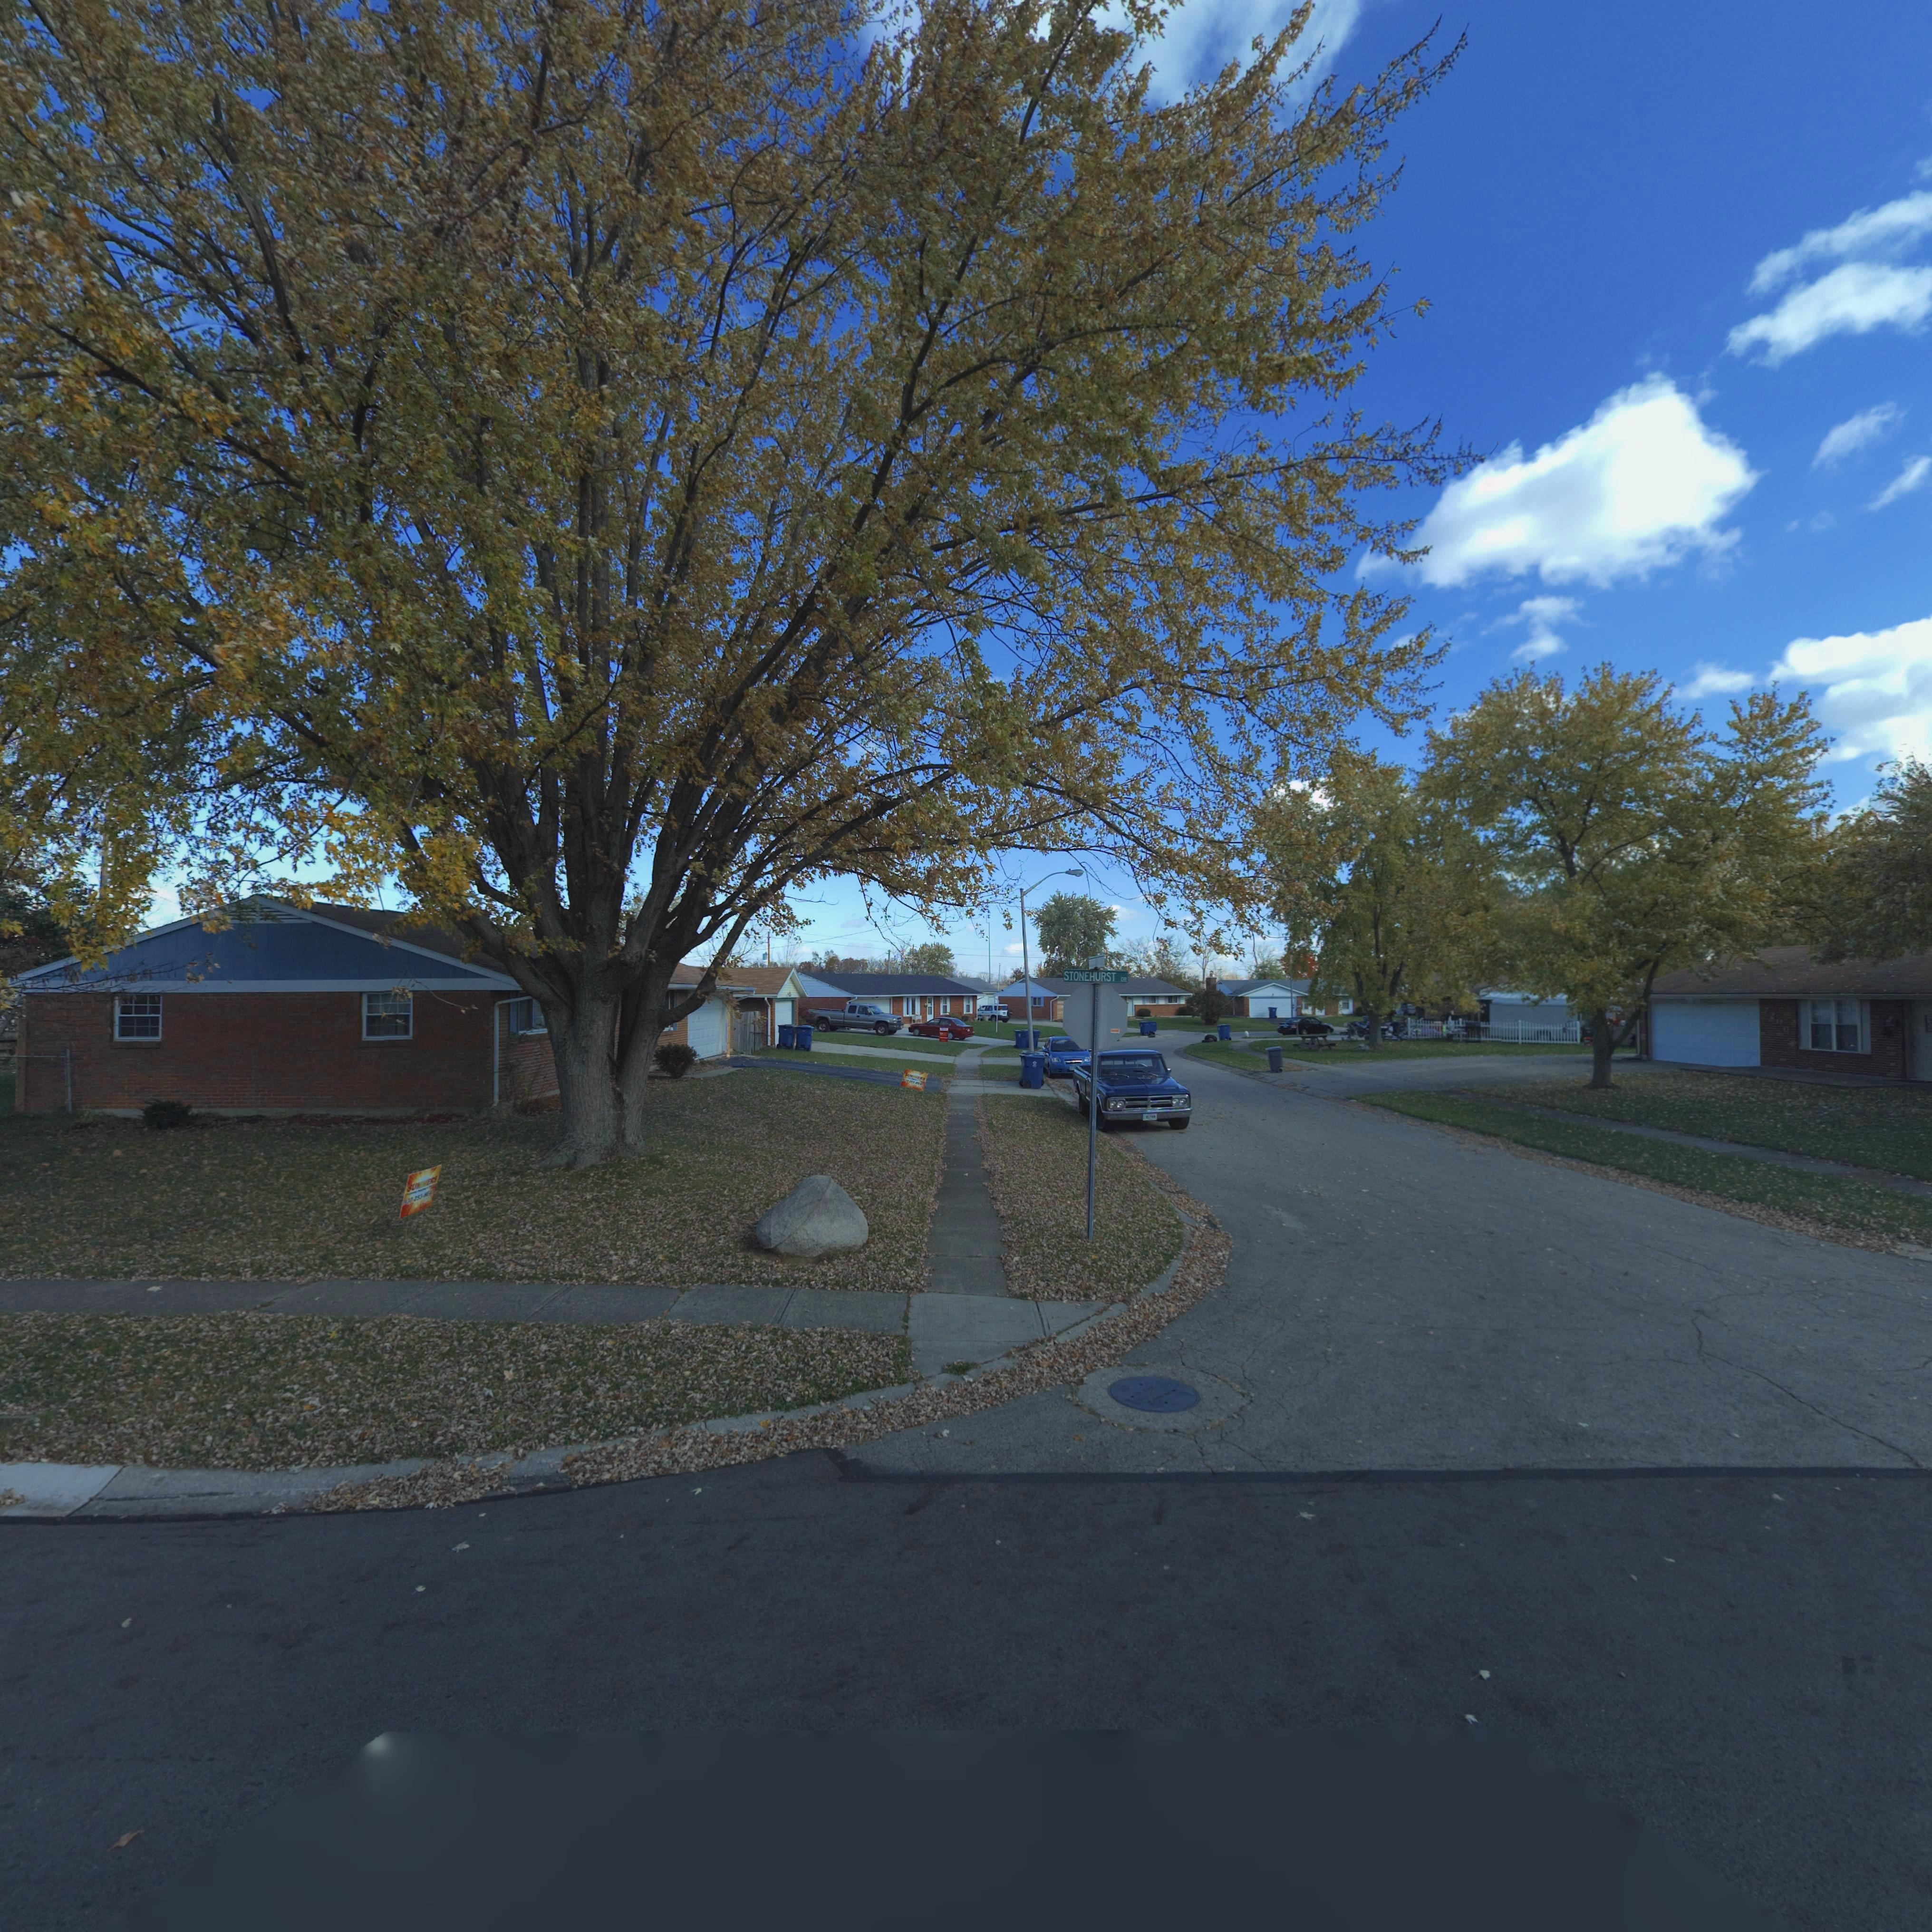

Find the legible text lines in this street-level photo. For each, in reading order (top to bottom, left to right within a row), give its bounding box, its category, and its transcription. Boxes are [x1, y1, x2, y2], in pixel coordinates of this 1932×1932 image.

[1763, 1006, 1790, 1034] StreetNumber: **00